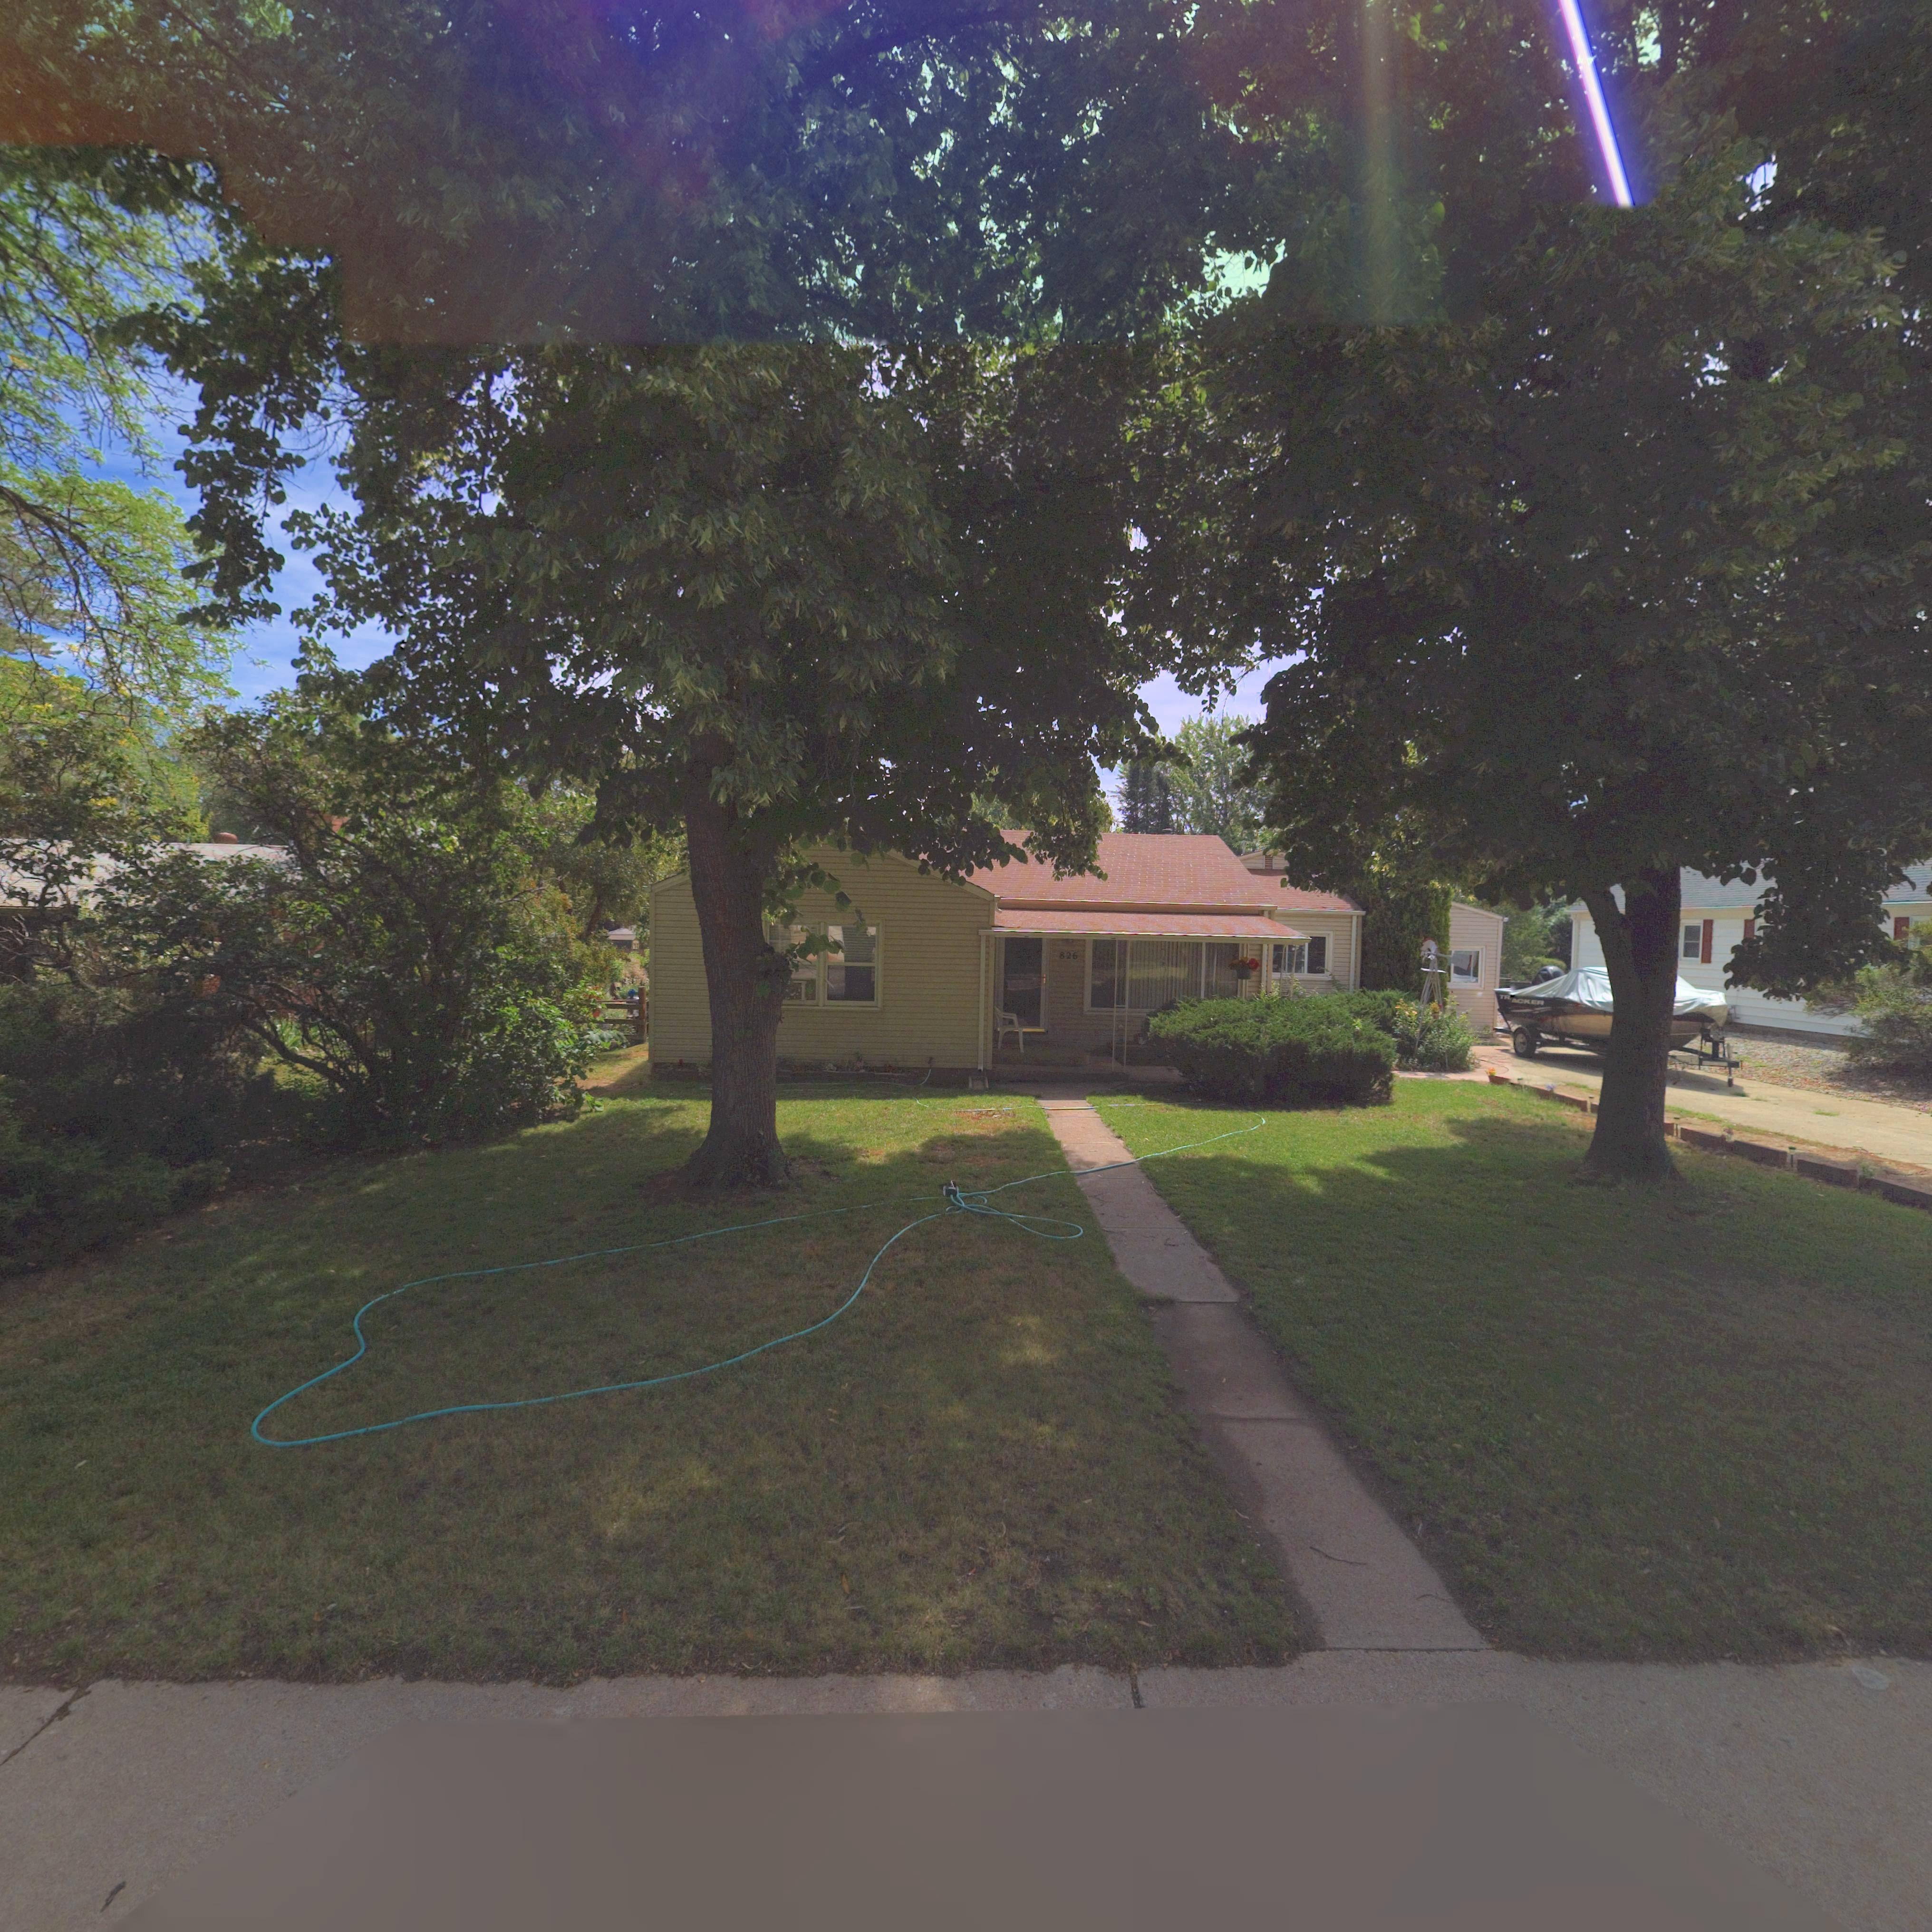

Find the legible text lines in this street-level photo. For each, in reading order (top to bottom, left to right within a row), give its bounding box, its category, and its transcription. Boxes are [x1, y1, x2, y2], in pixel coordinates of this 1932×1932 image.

[1059, 951, 1078, 960] StreetNumber: 826